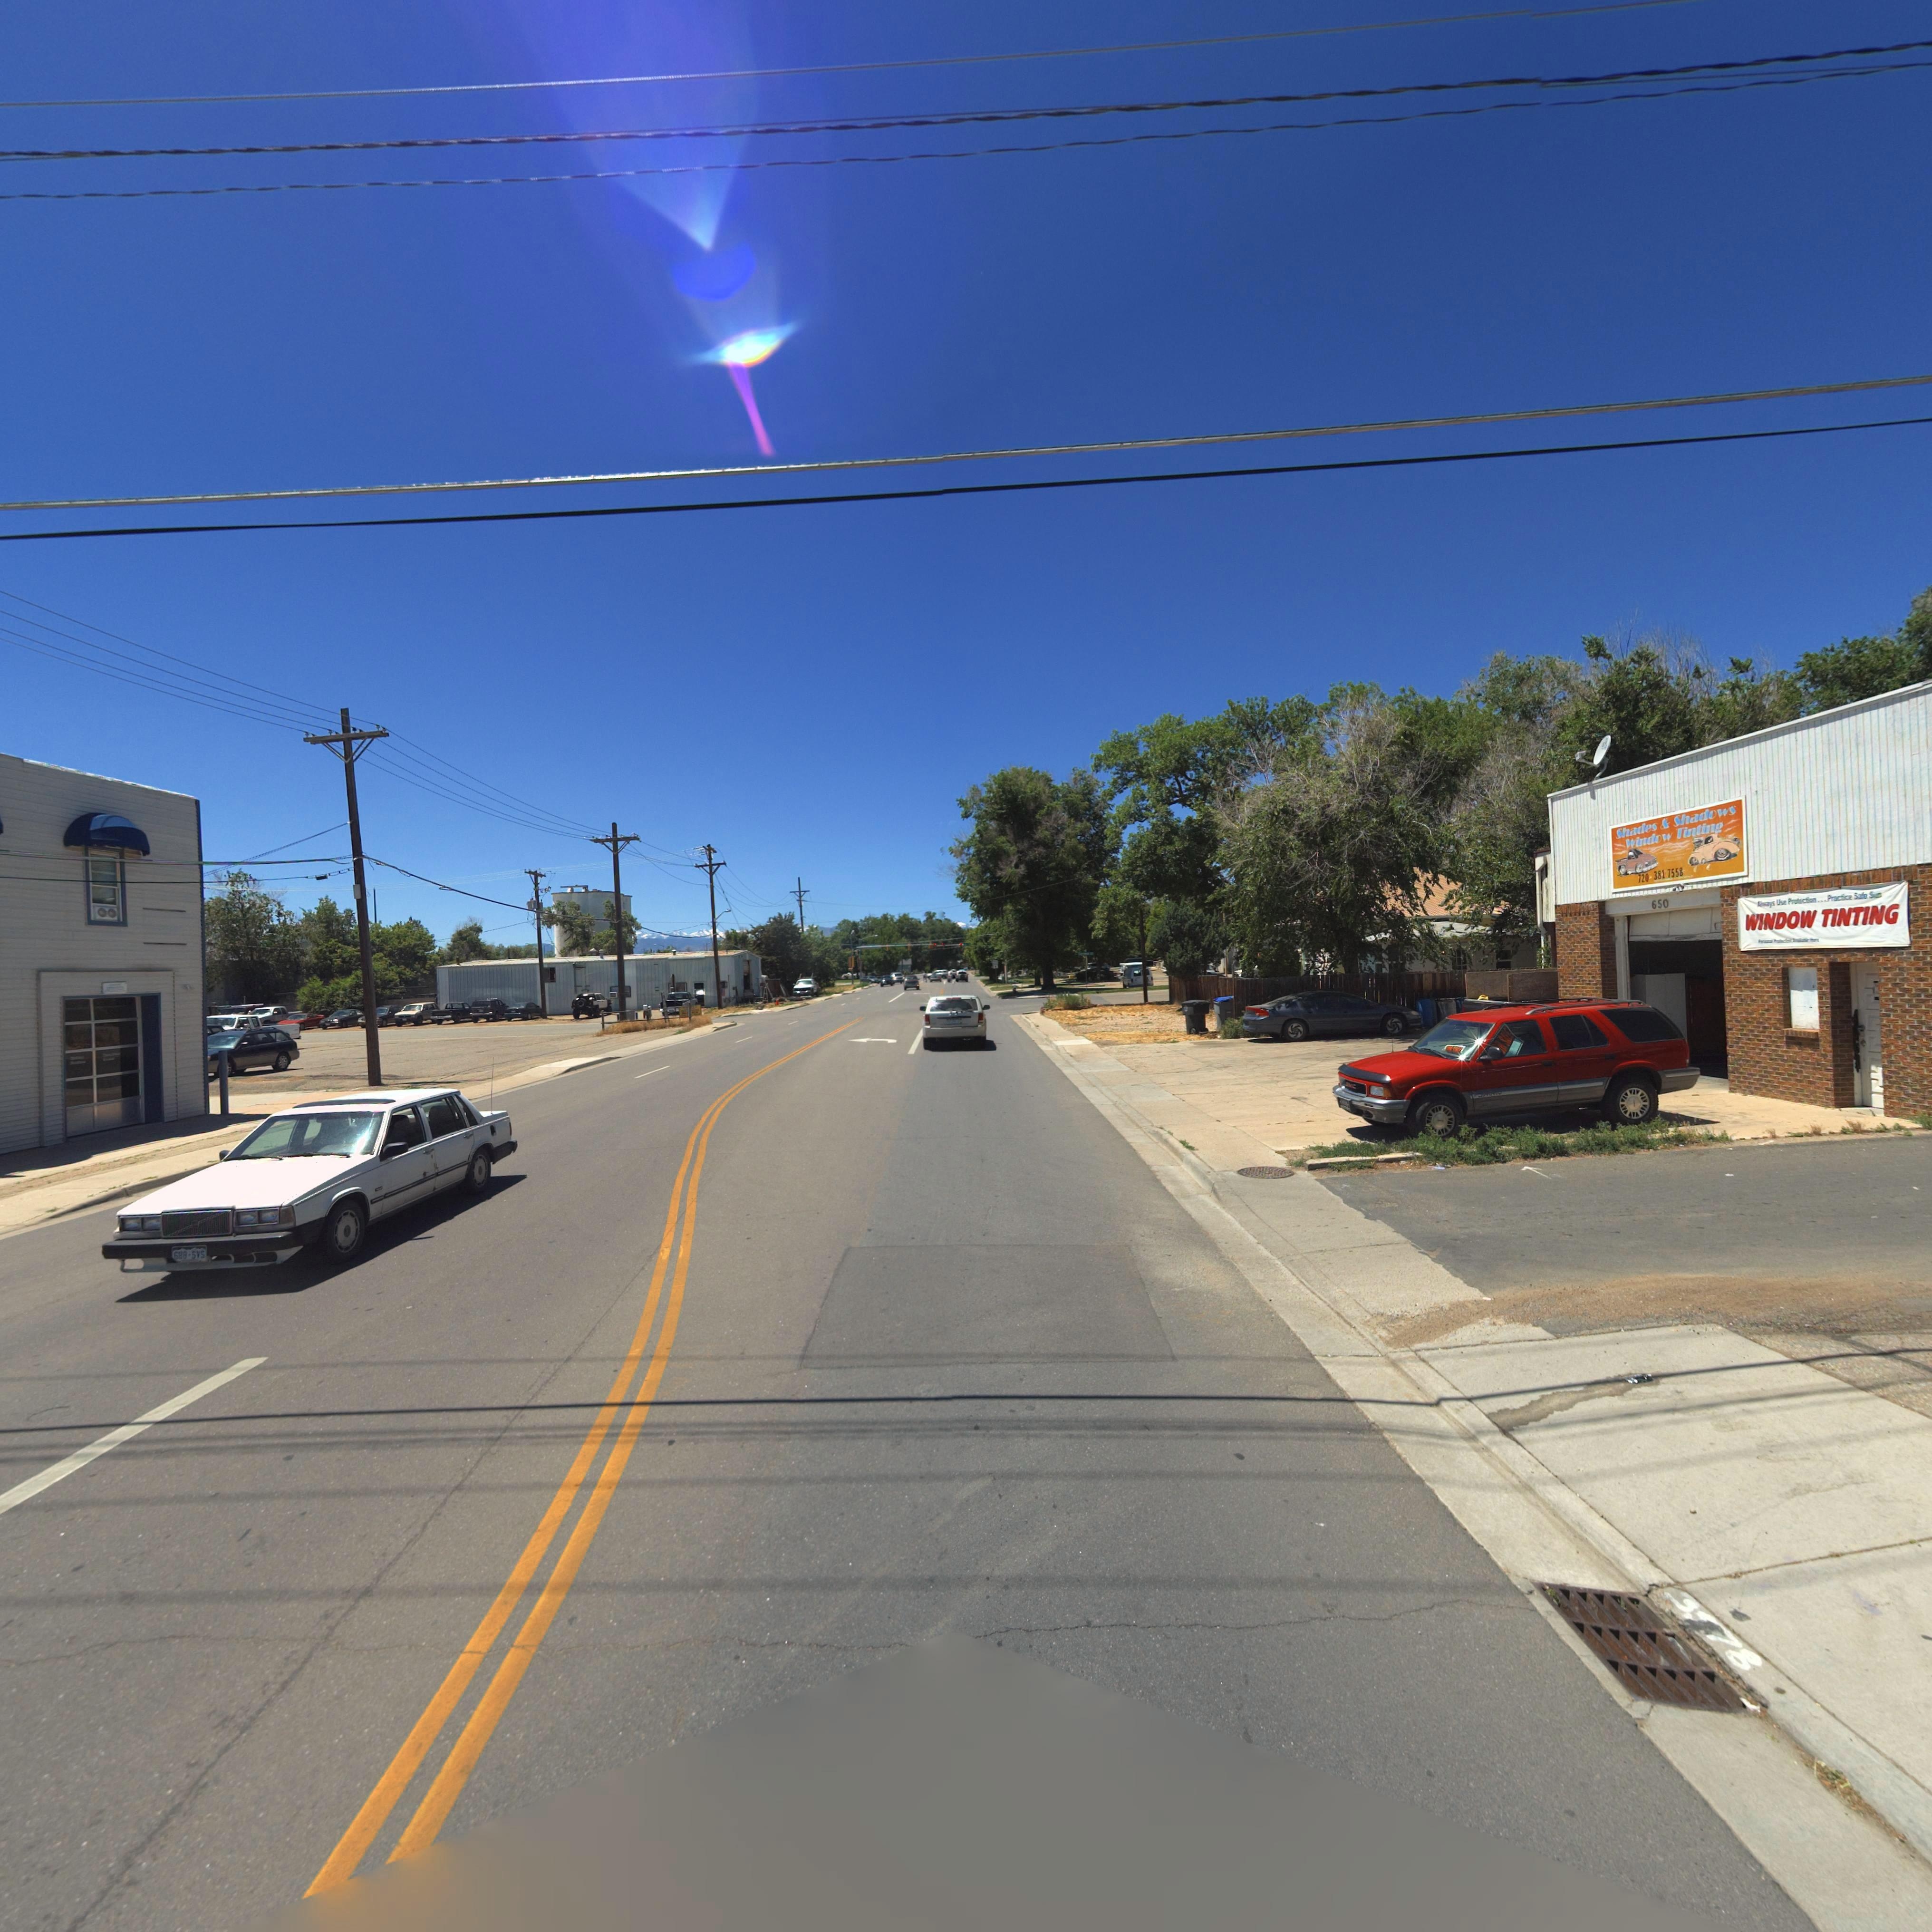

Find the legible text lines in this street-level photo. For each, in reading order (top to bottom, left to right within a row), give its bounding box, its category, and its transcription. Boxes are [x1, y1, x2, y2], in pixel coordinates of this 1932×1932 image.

[1615, 804, 1737, 840] BusinessName: Shades & Shadows
[1652, 898, 1669, 909] StreetNumber: 650